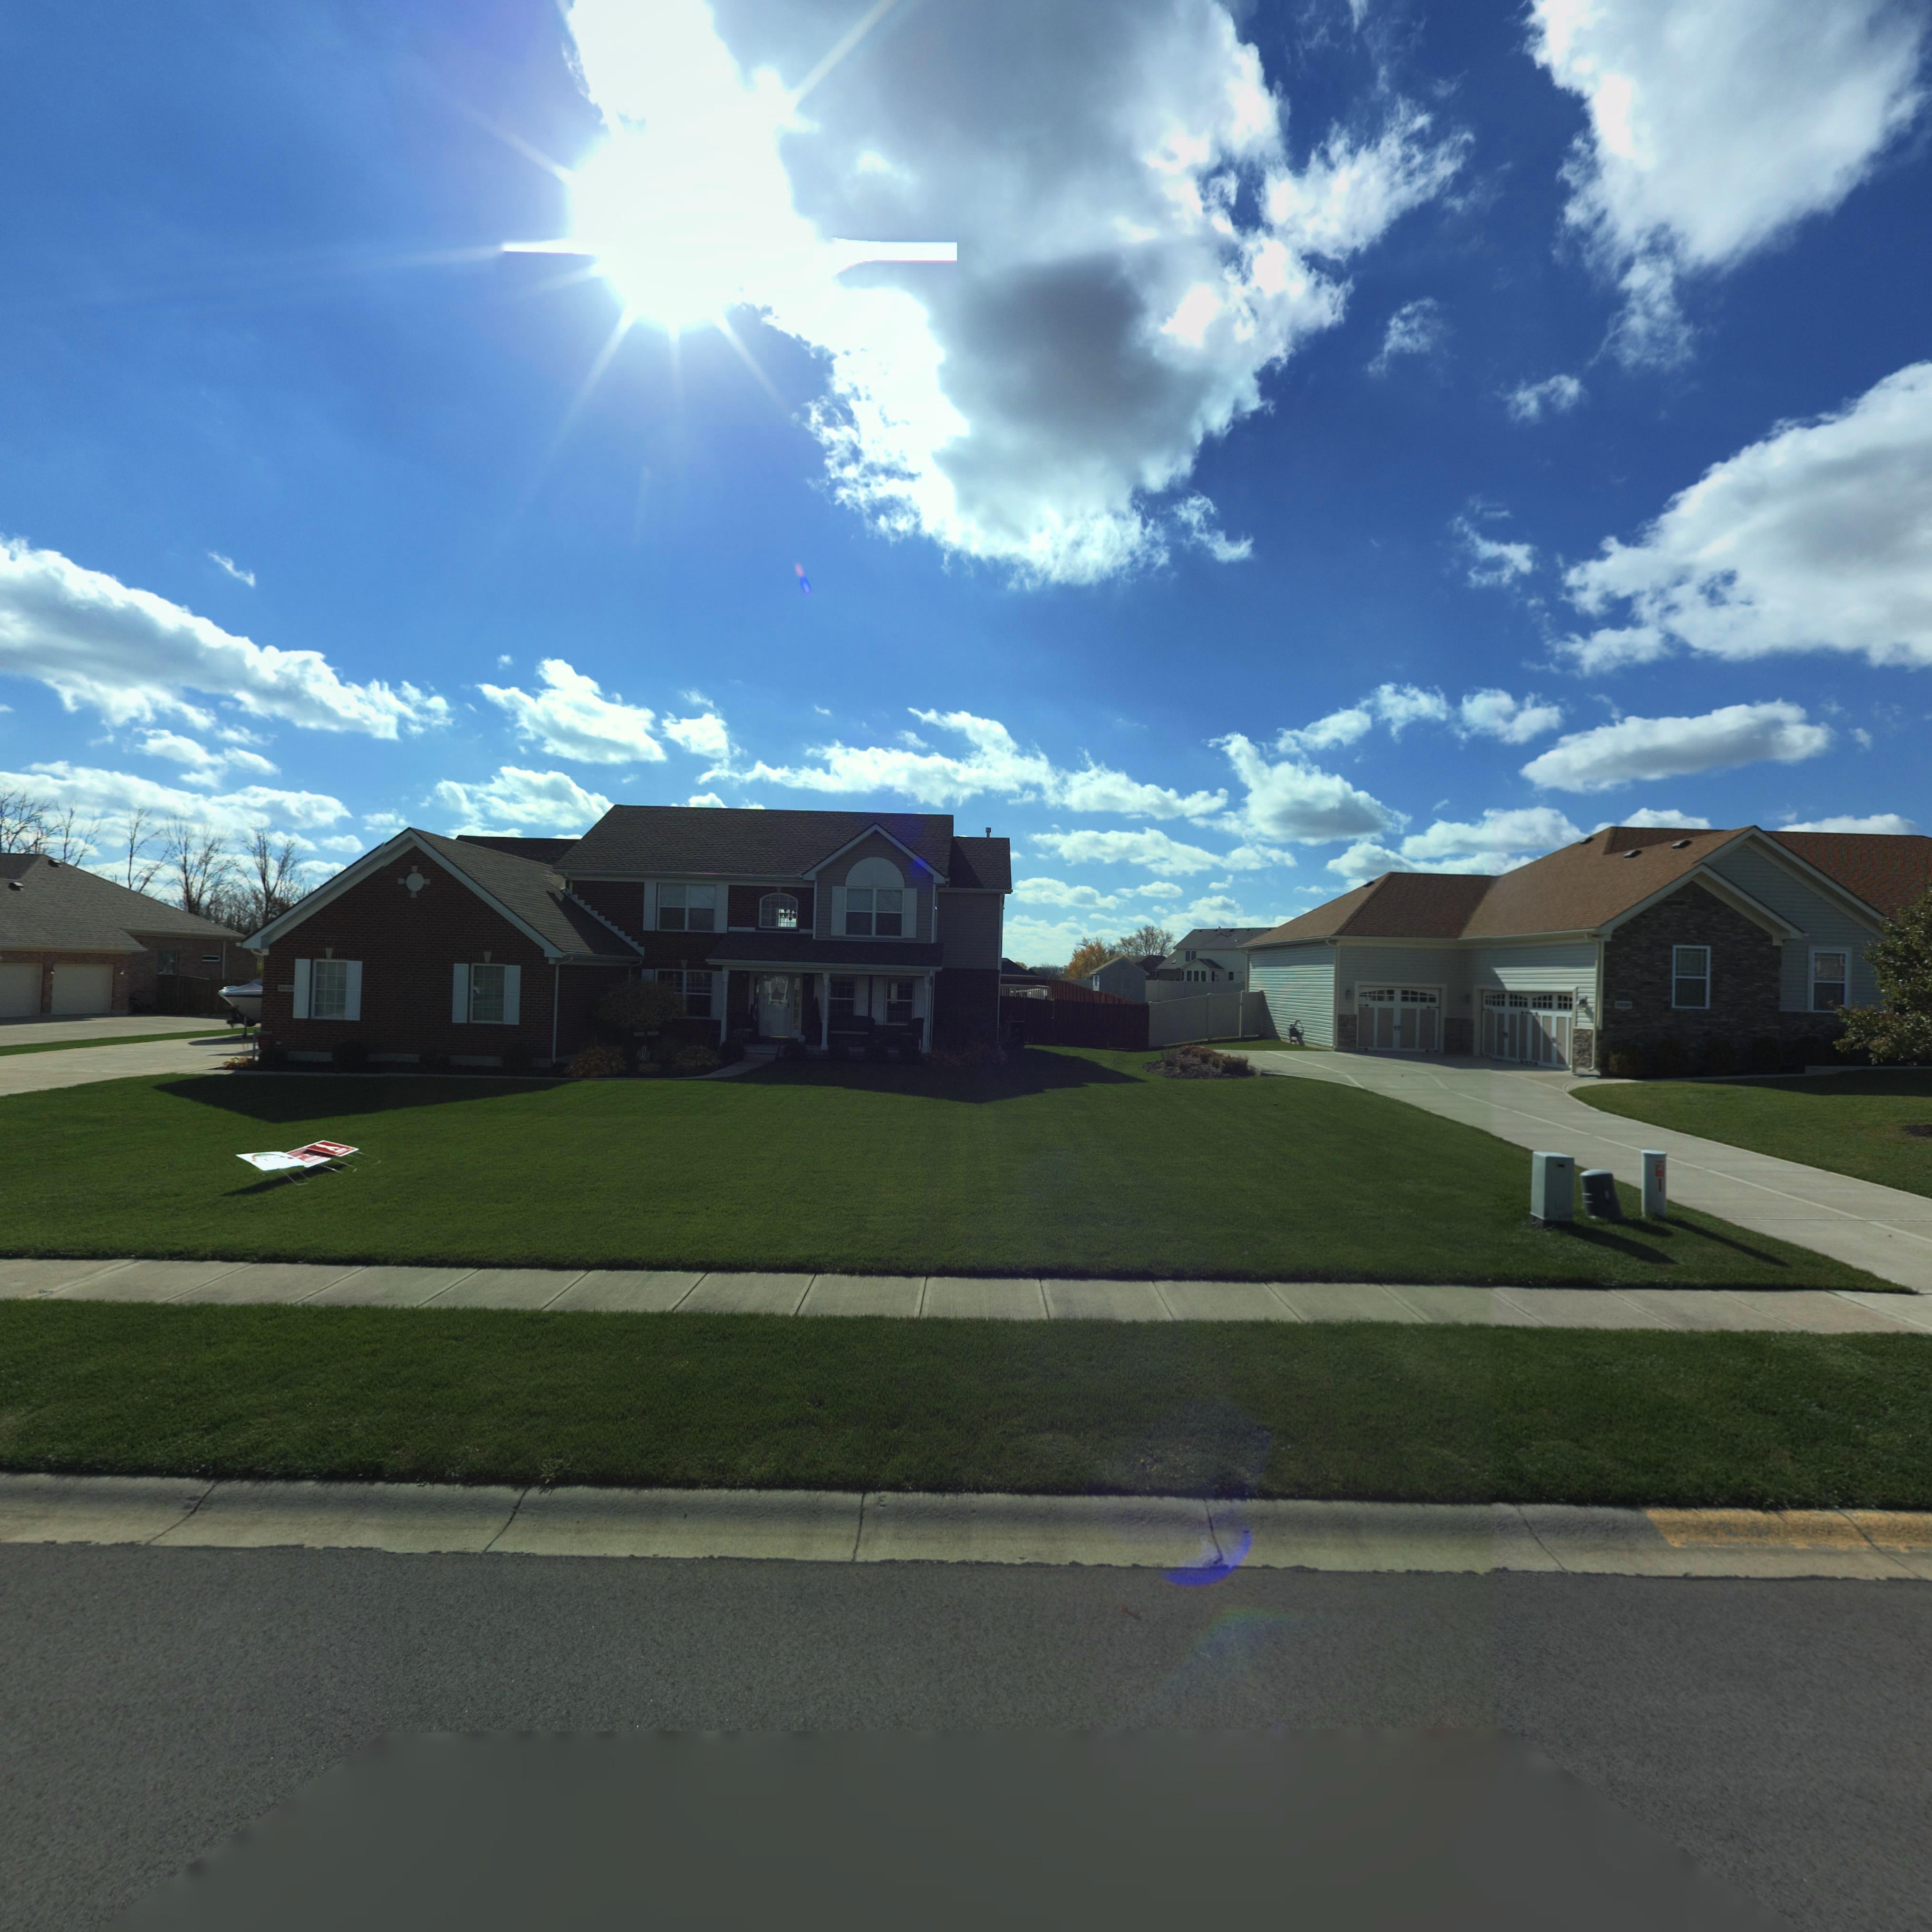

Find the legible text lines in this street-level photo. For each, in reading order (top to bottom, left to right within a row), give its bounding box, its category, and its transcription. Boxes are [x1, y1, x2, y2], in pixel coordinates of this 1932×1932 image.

[1615, 1002, 1632, 1008] StreetNumber: 6*38